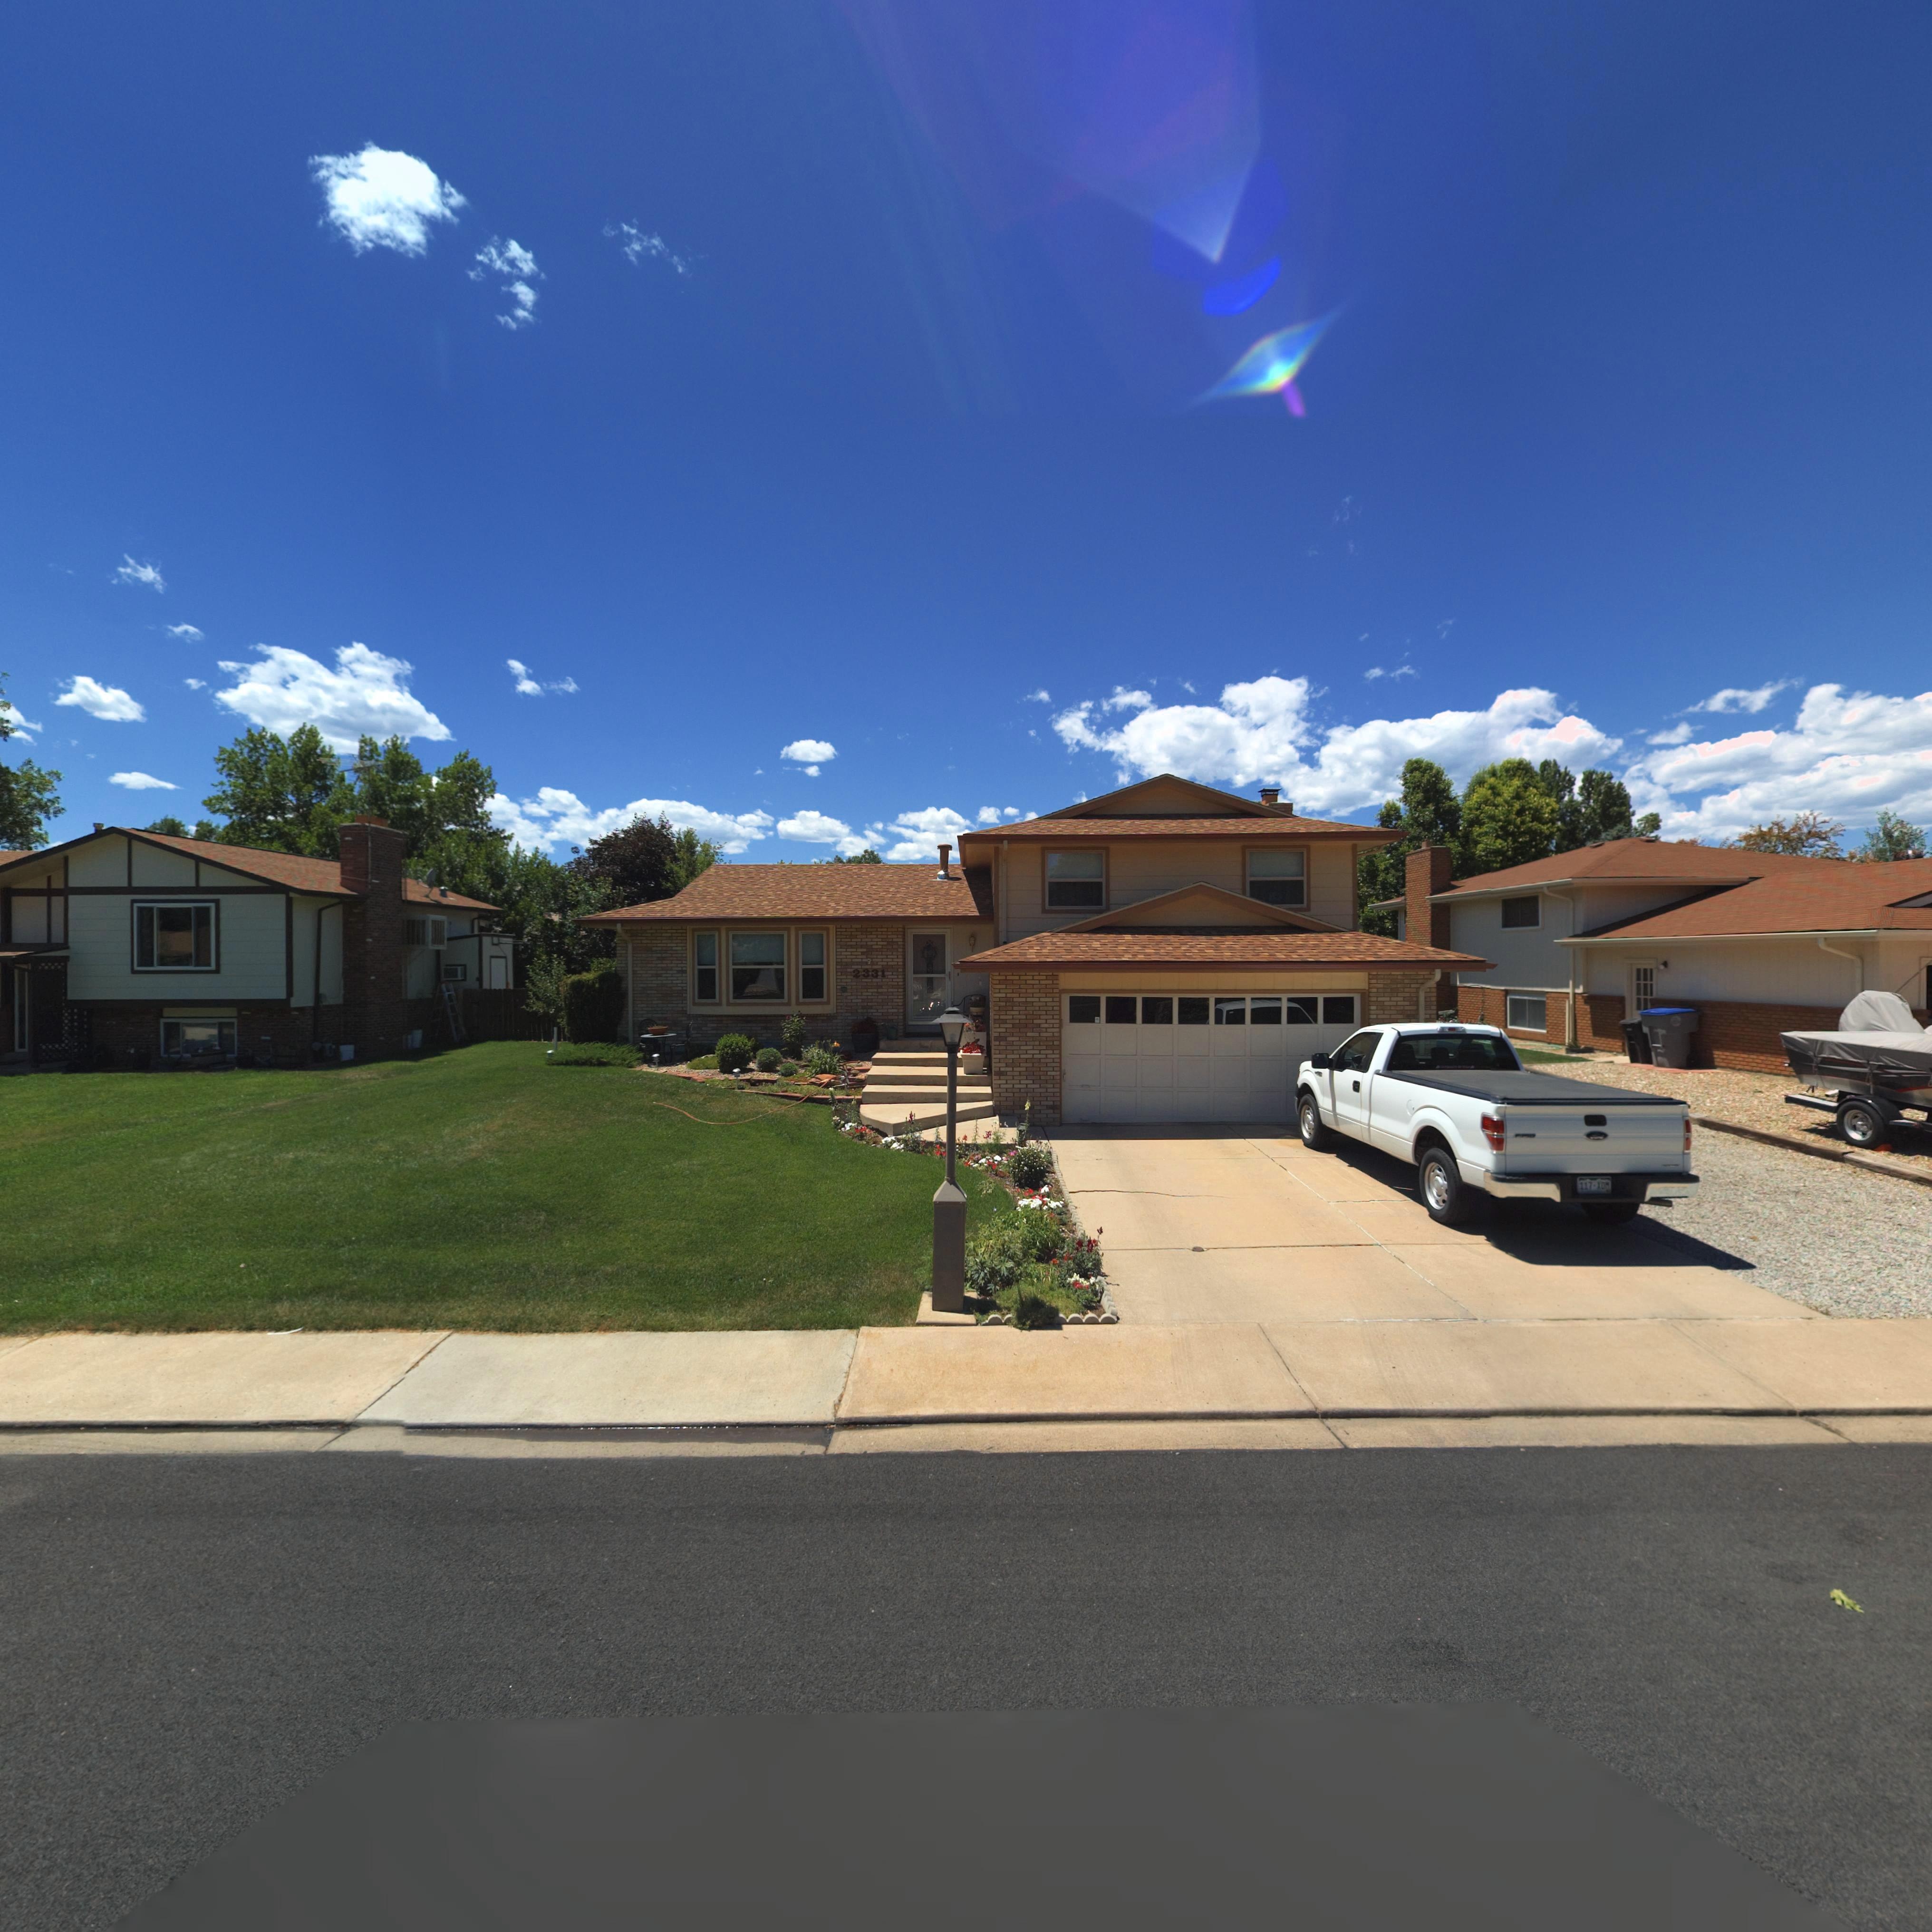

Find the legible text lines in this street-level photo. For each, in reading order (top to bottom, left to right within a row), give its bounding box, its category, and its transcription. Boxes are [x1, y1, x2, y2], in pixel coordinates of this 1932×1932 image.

[852, 969, 886, 978] StreetNumber: 2331